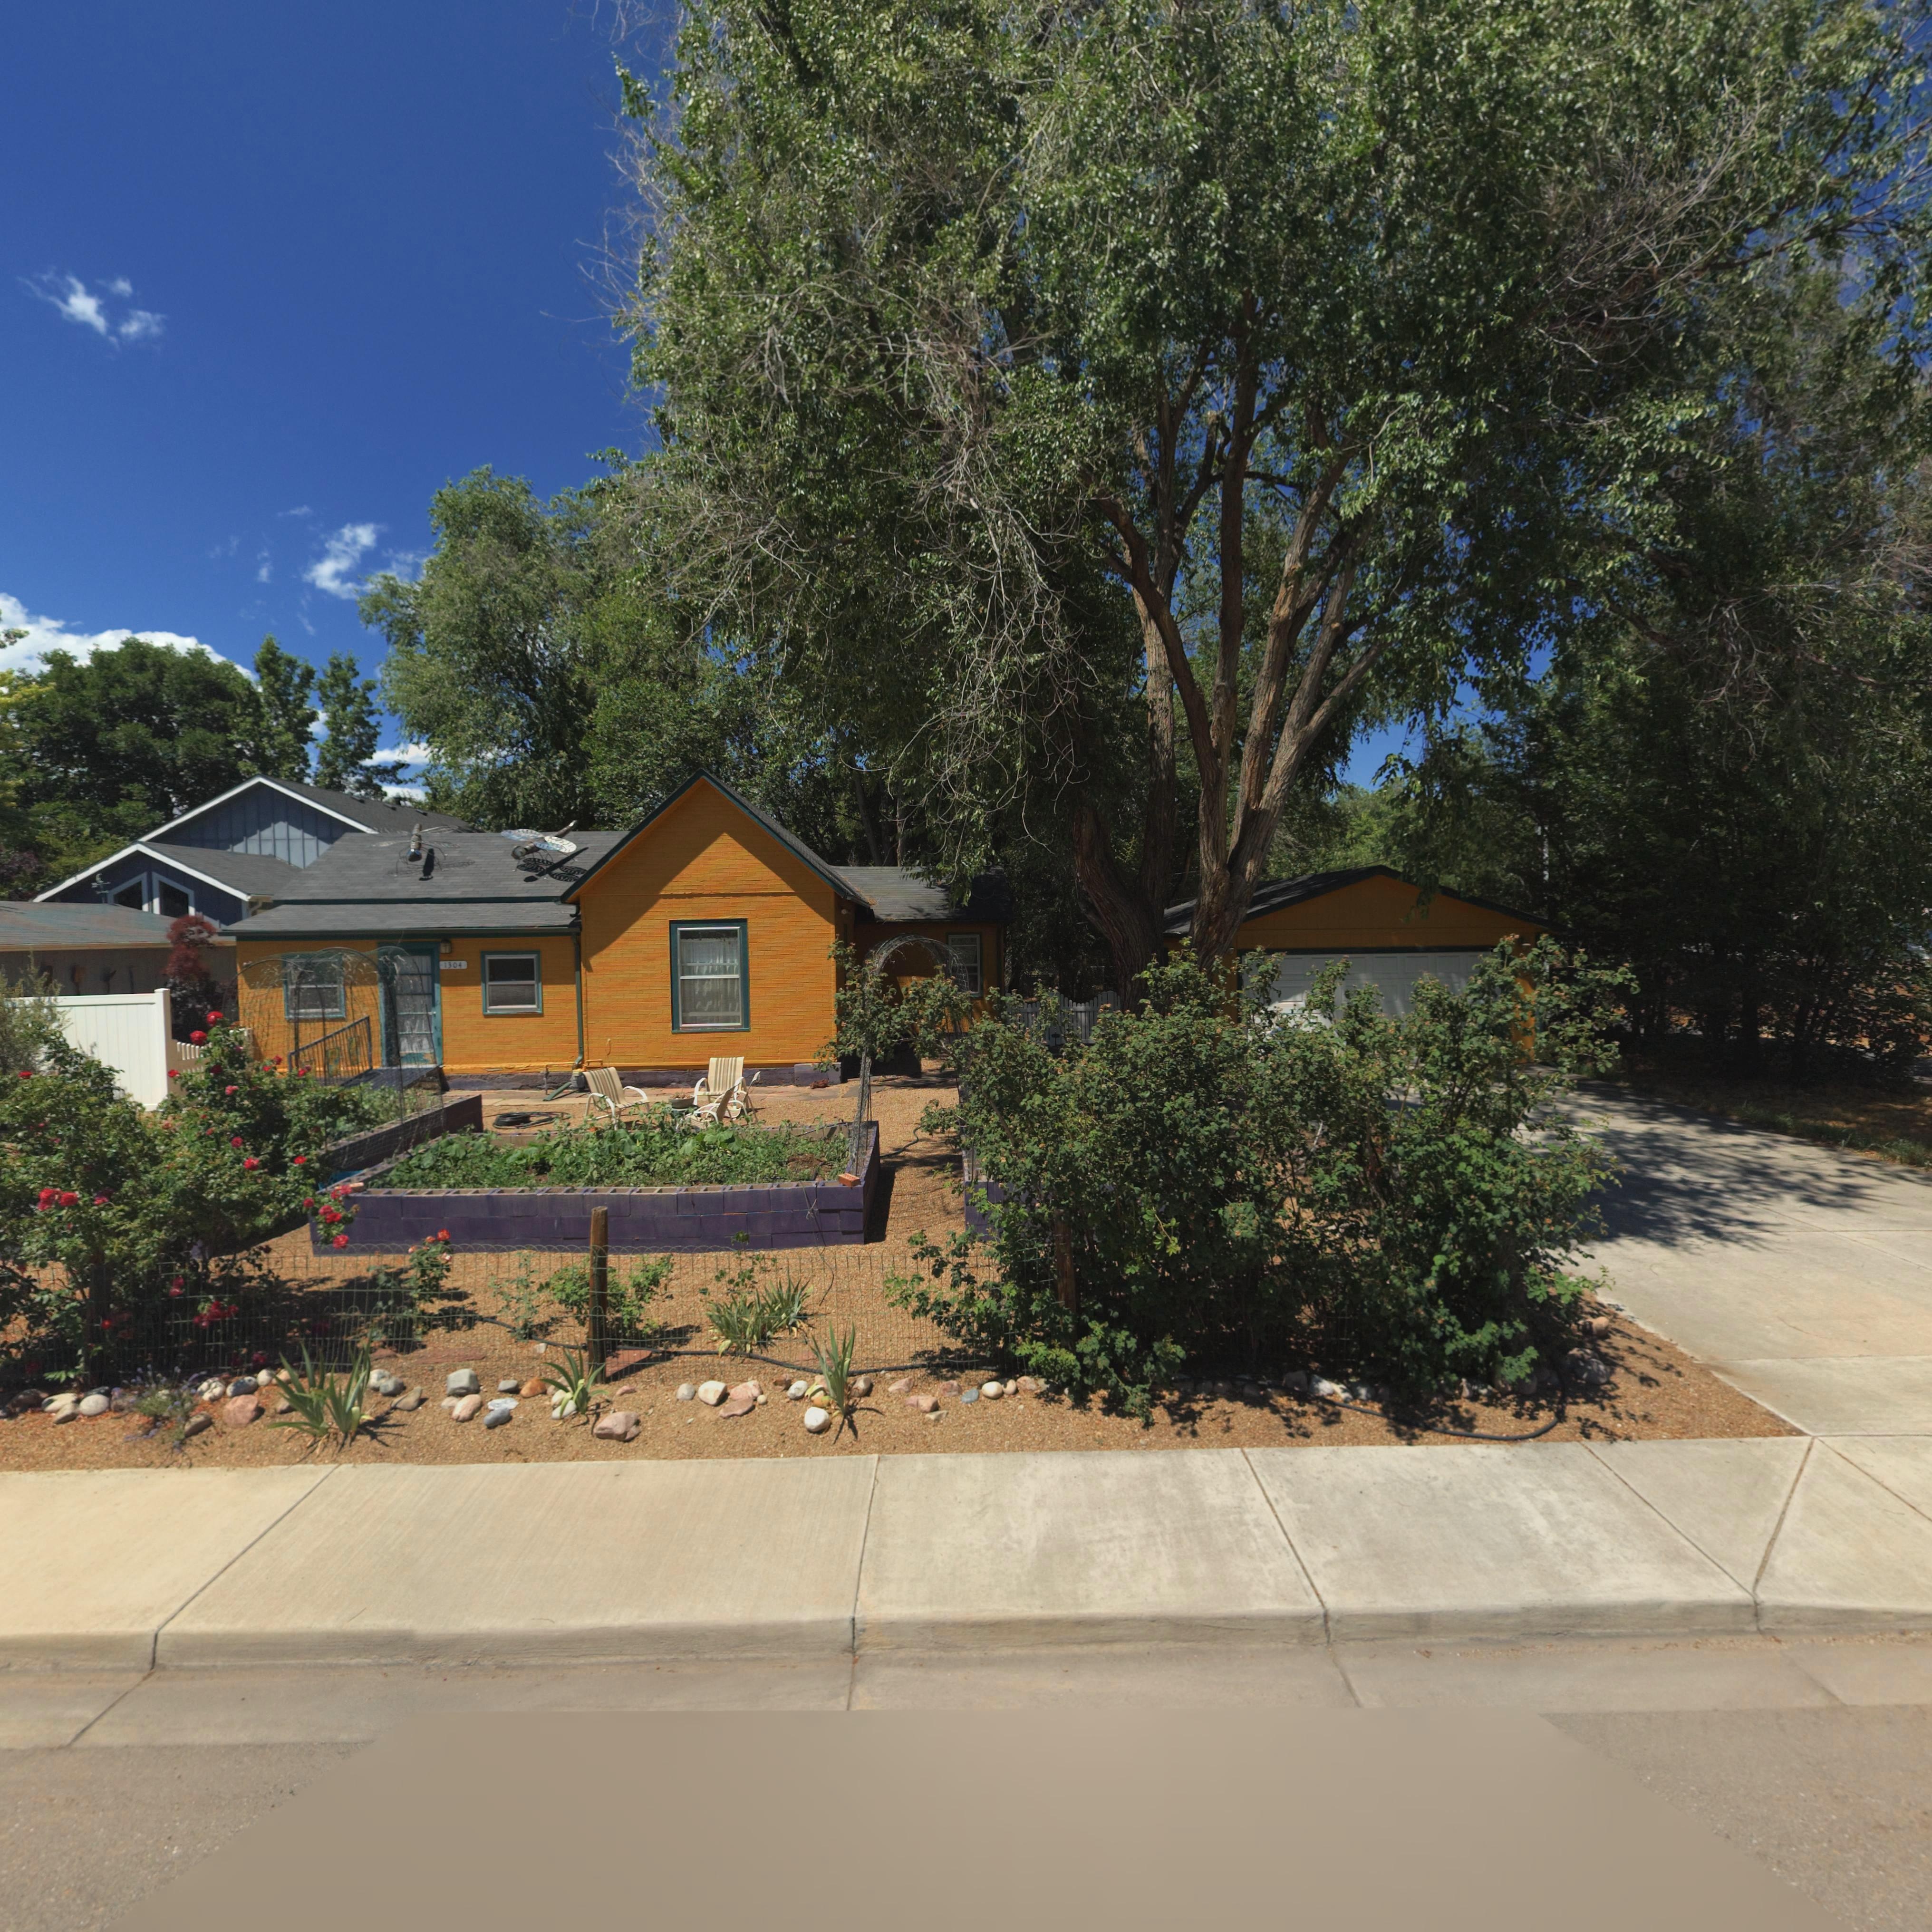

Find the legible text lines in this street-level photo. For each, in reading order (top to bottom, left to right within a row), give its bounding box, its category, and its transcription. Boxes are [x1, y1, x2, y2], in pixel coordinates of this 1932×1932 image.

[444, 961, 462, 969] StreetNumber: 1304